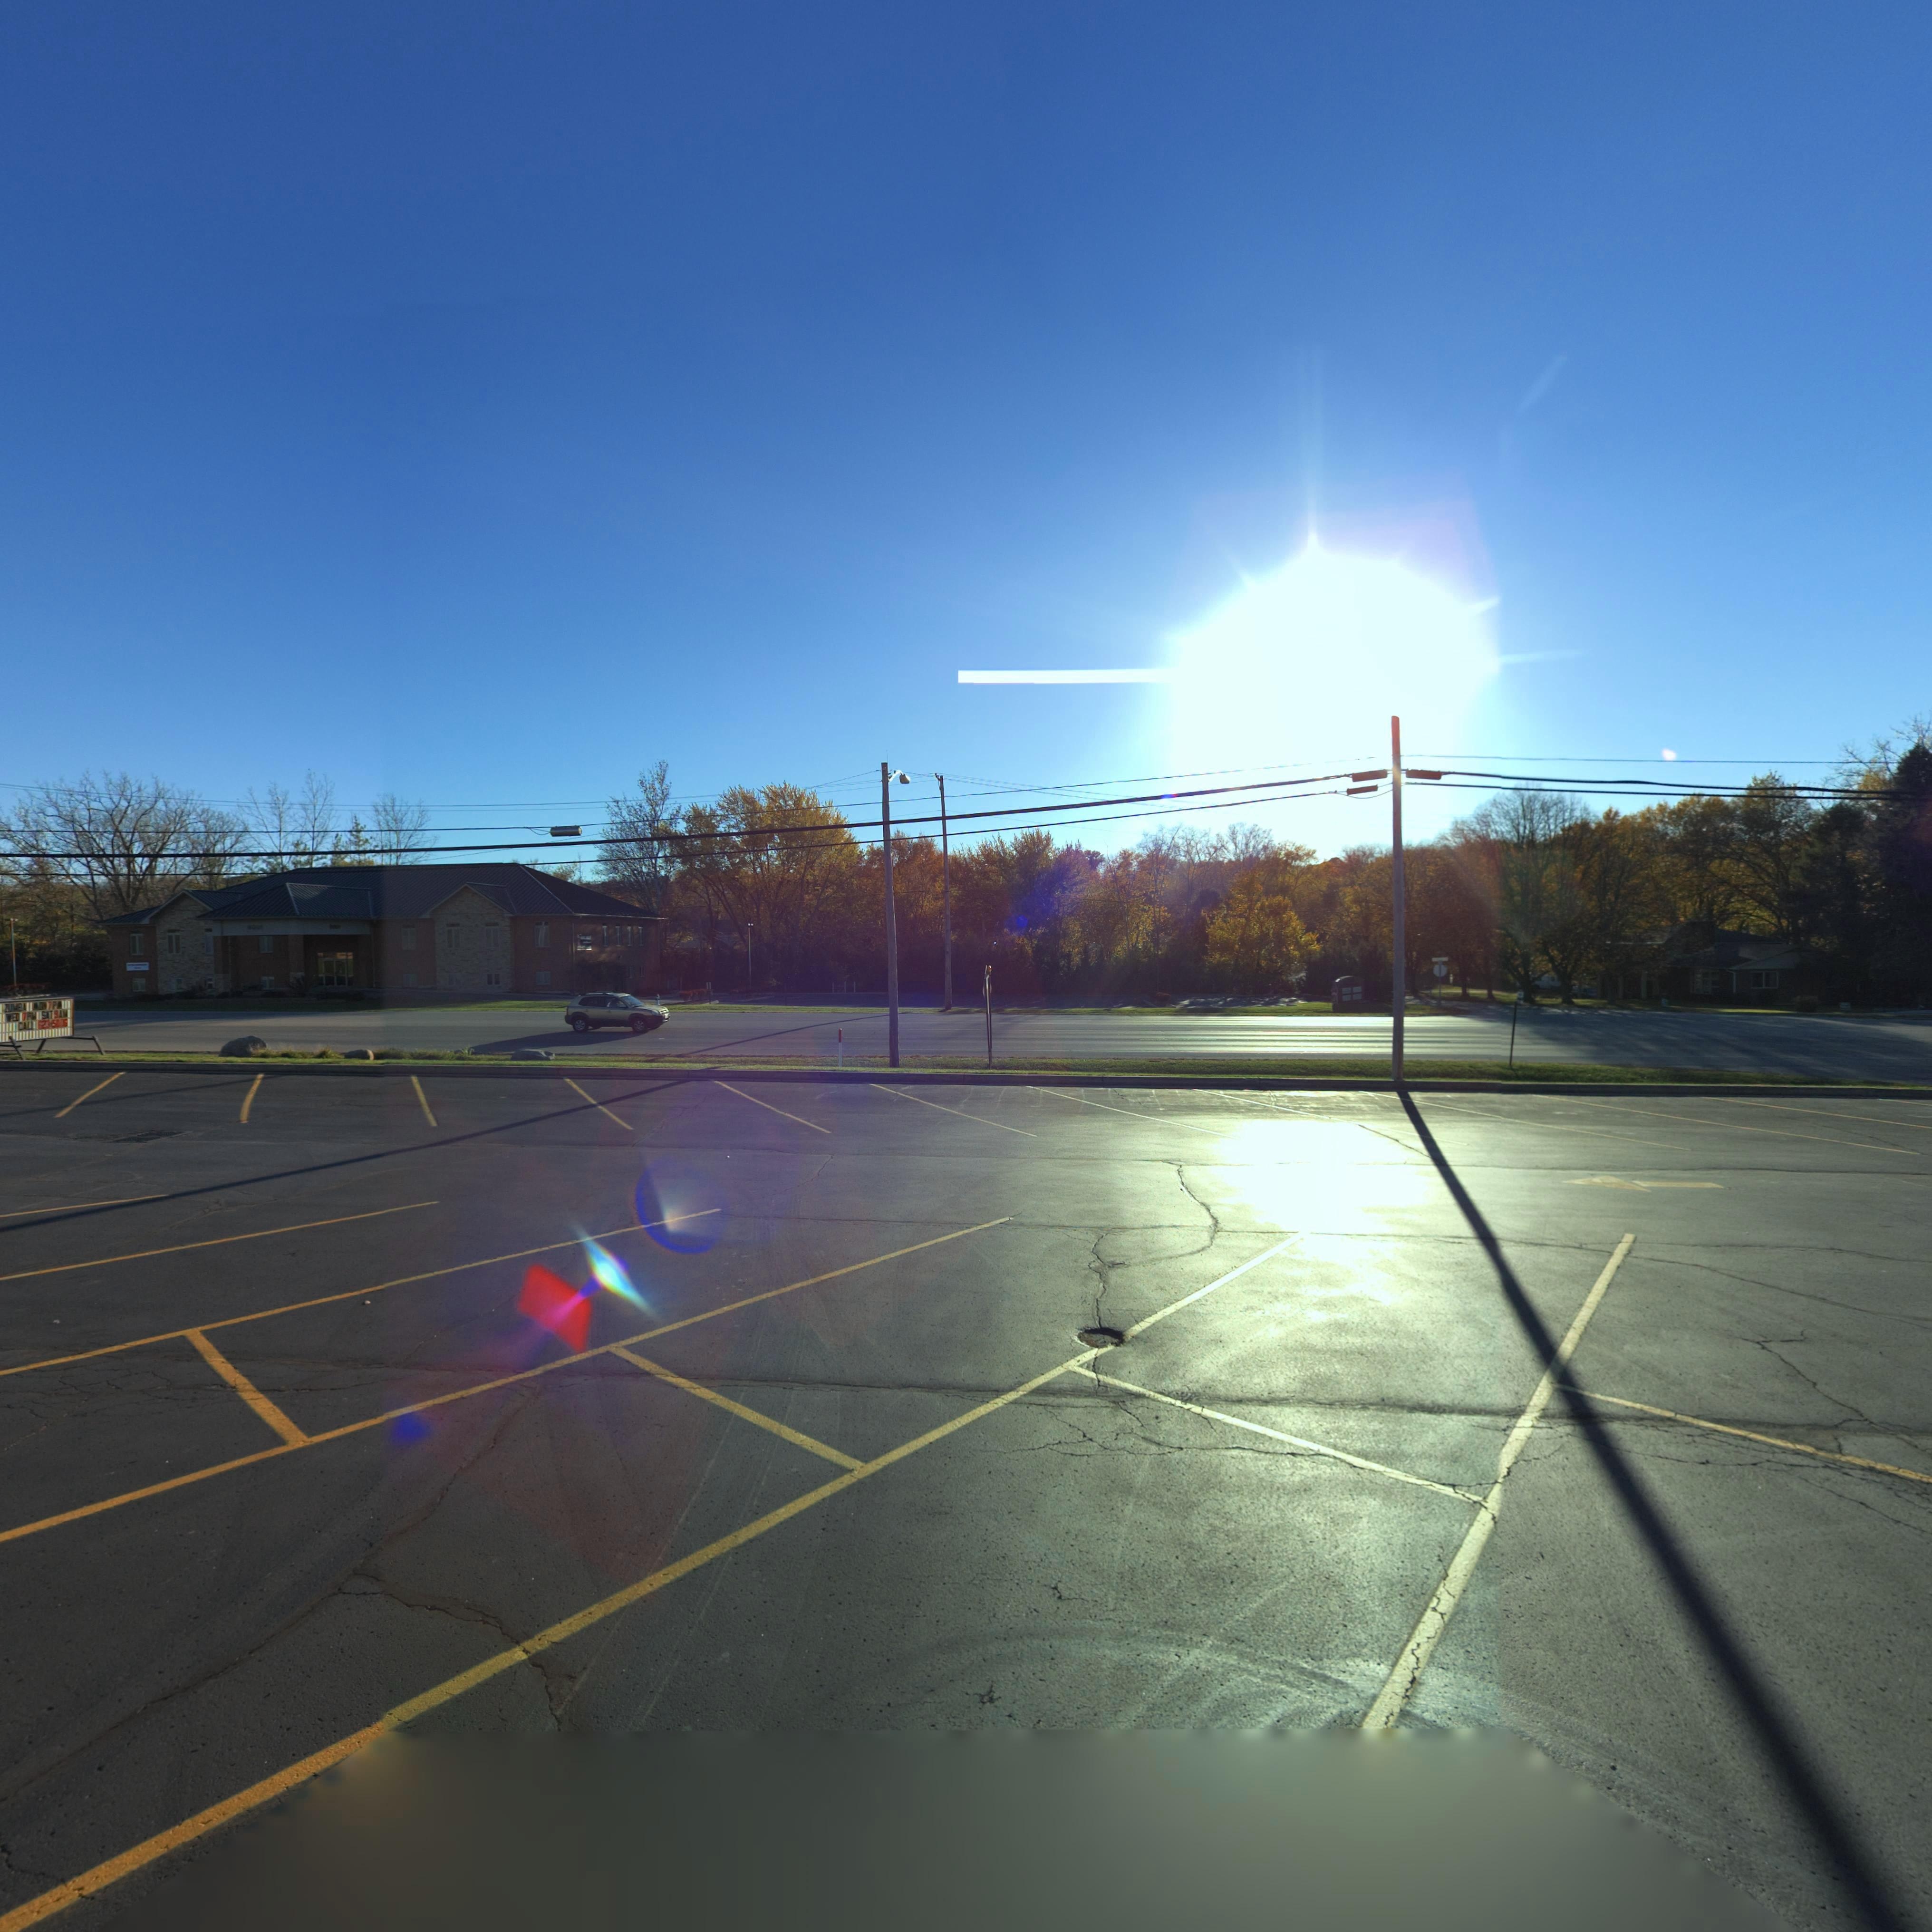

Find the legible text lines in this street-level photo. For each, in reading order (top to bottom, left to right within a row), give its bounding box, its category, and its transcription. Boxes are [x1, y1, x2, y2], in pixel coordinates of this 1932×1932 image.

[246, 924, 264, 930] StreetNumber: 9001